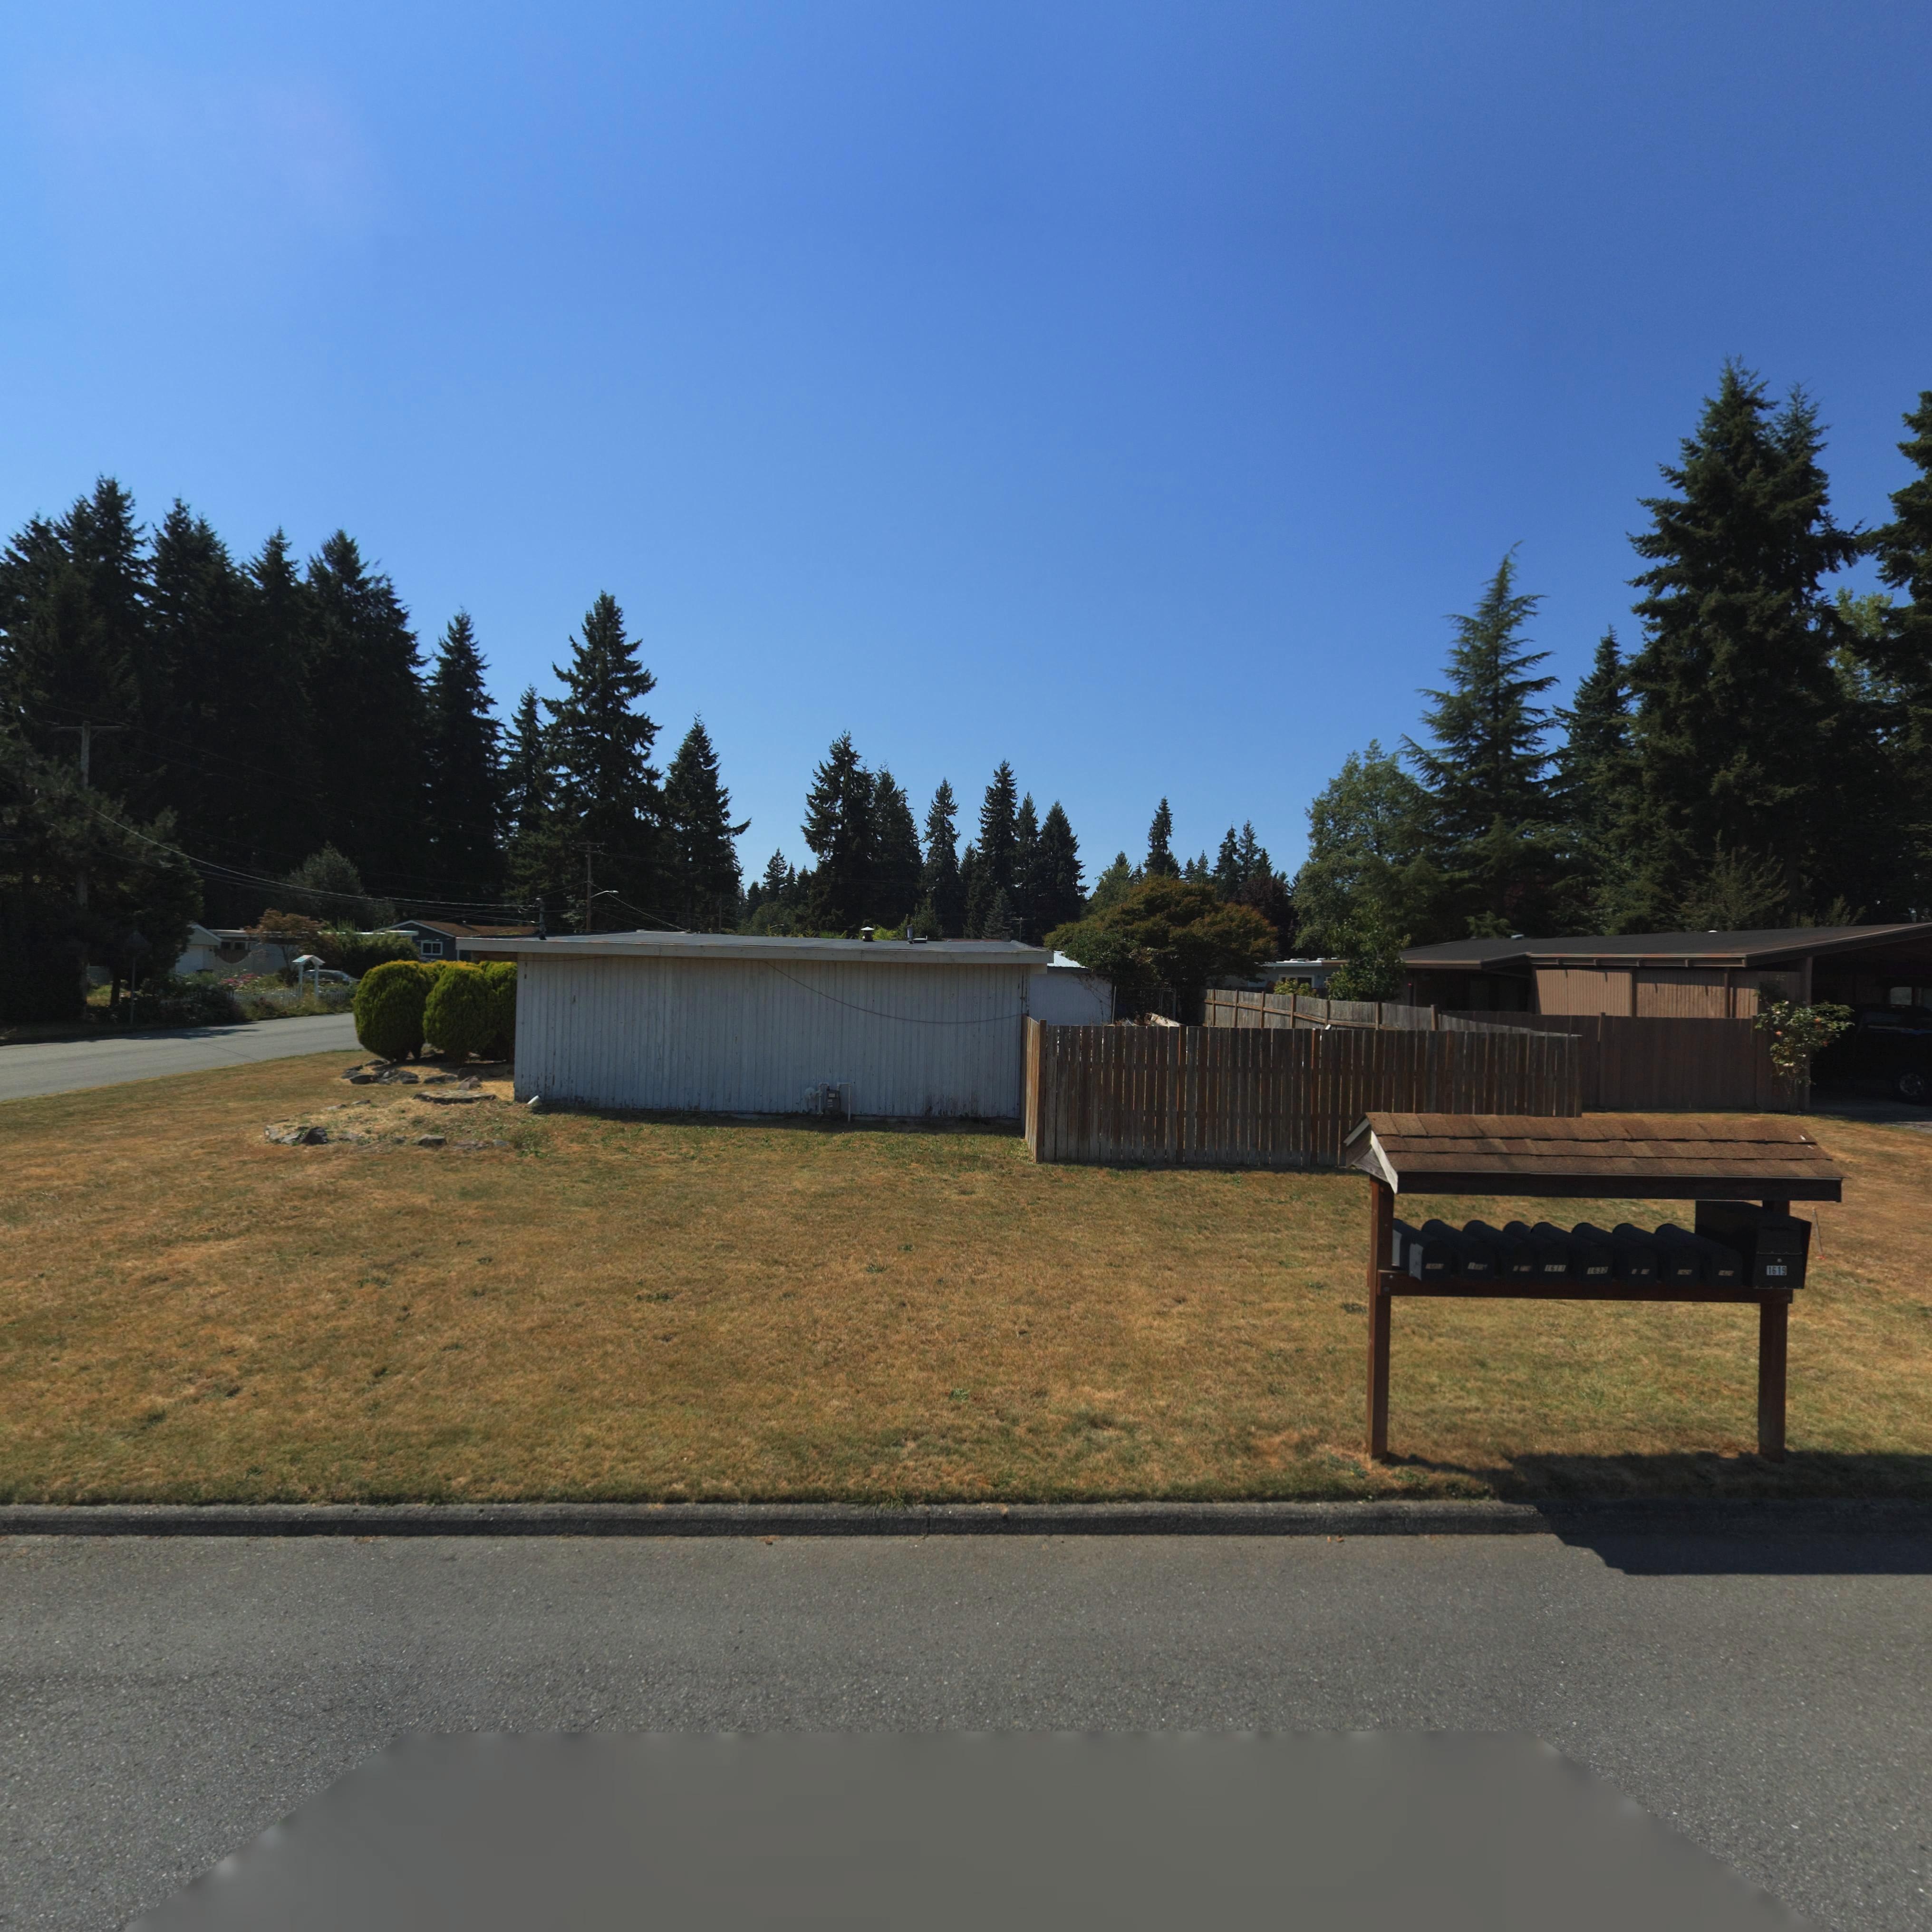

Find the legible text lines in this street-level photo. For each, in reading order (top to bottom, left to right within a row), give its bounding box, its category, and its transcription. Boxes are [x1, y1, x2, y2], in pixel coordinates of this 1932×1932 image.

[1767, 1266, 1787, 1275] StreetNumber: 1619